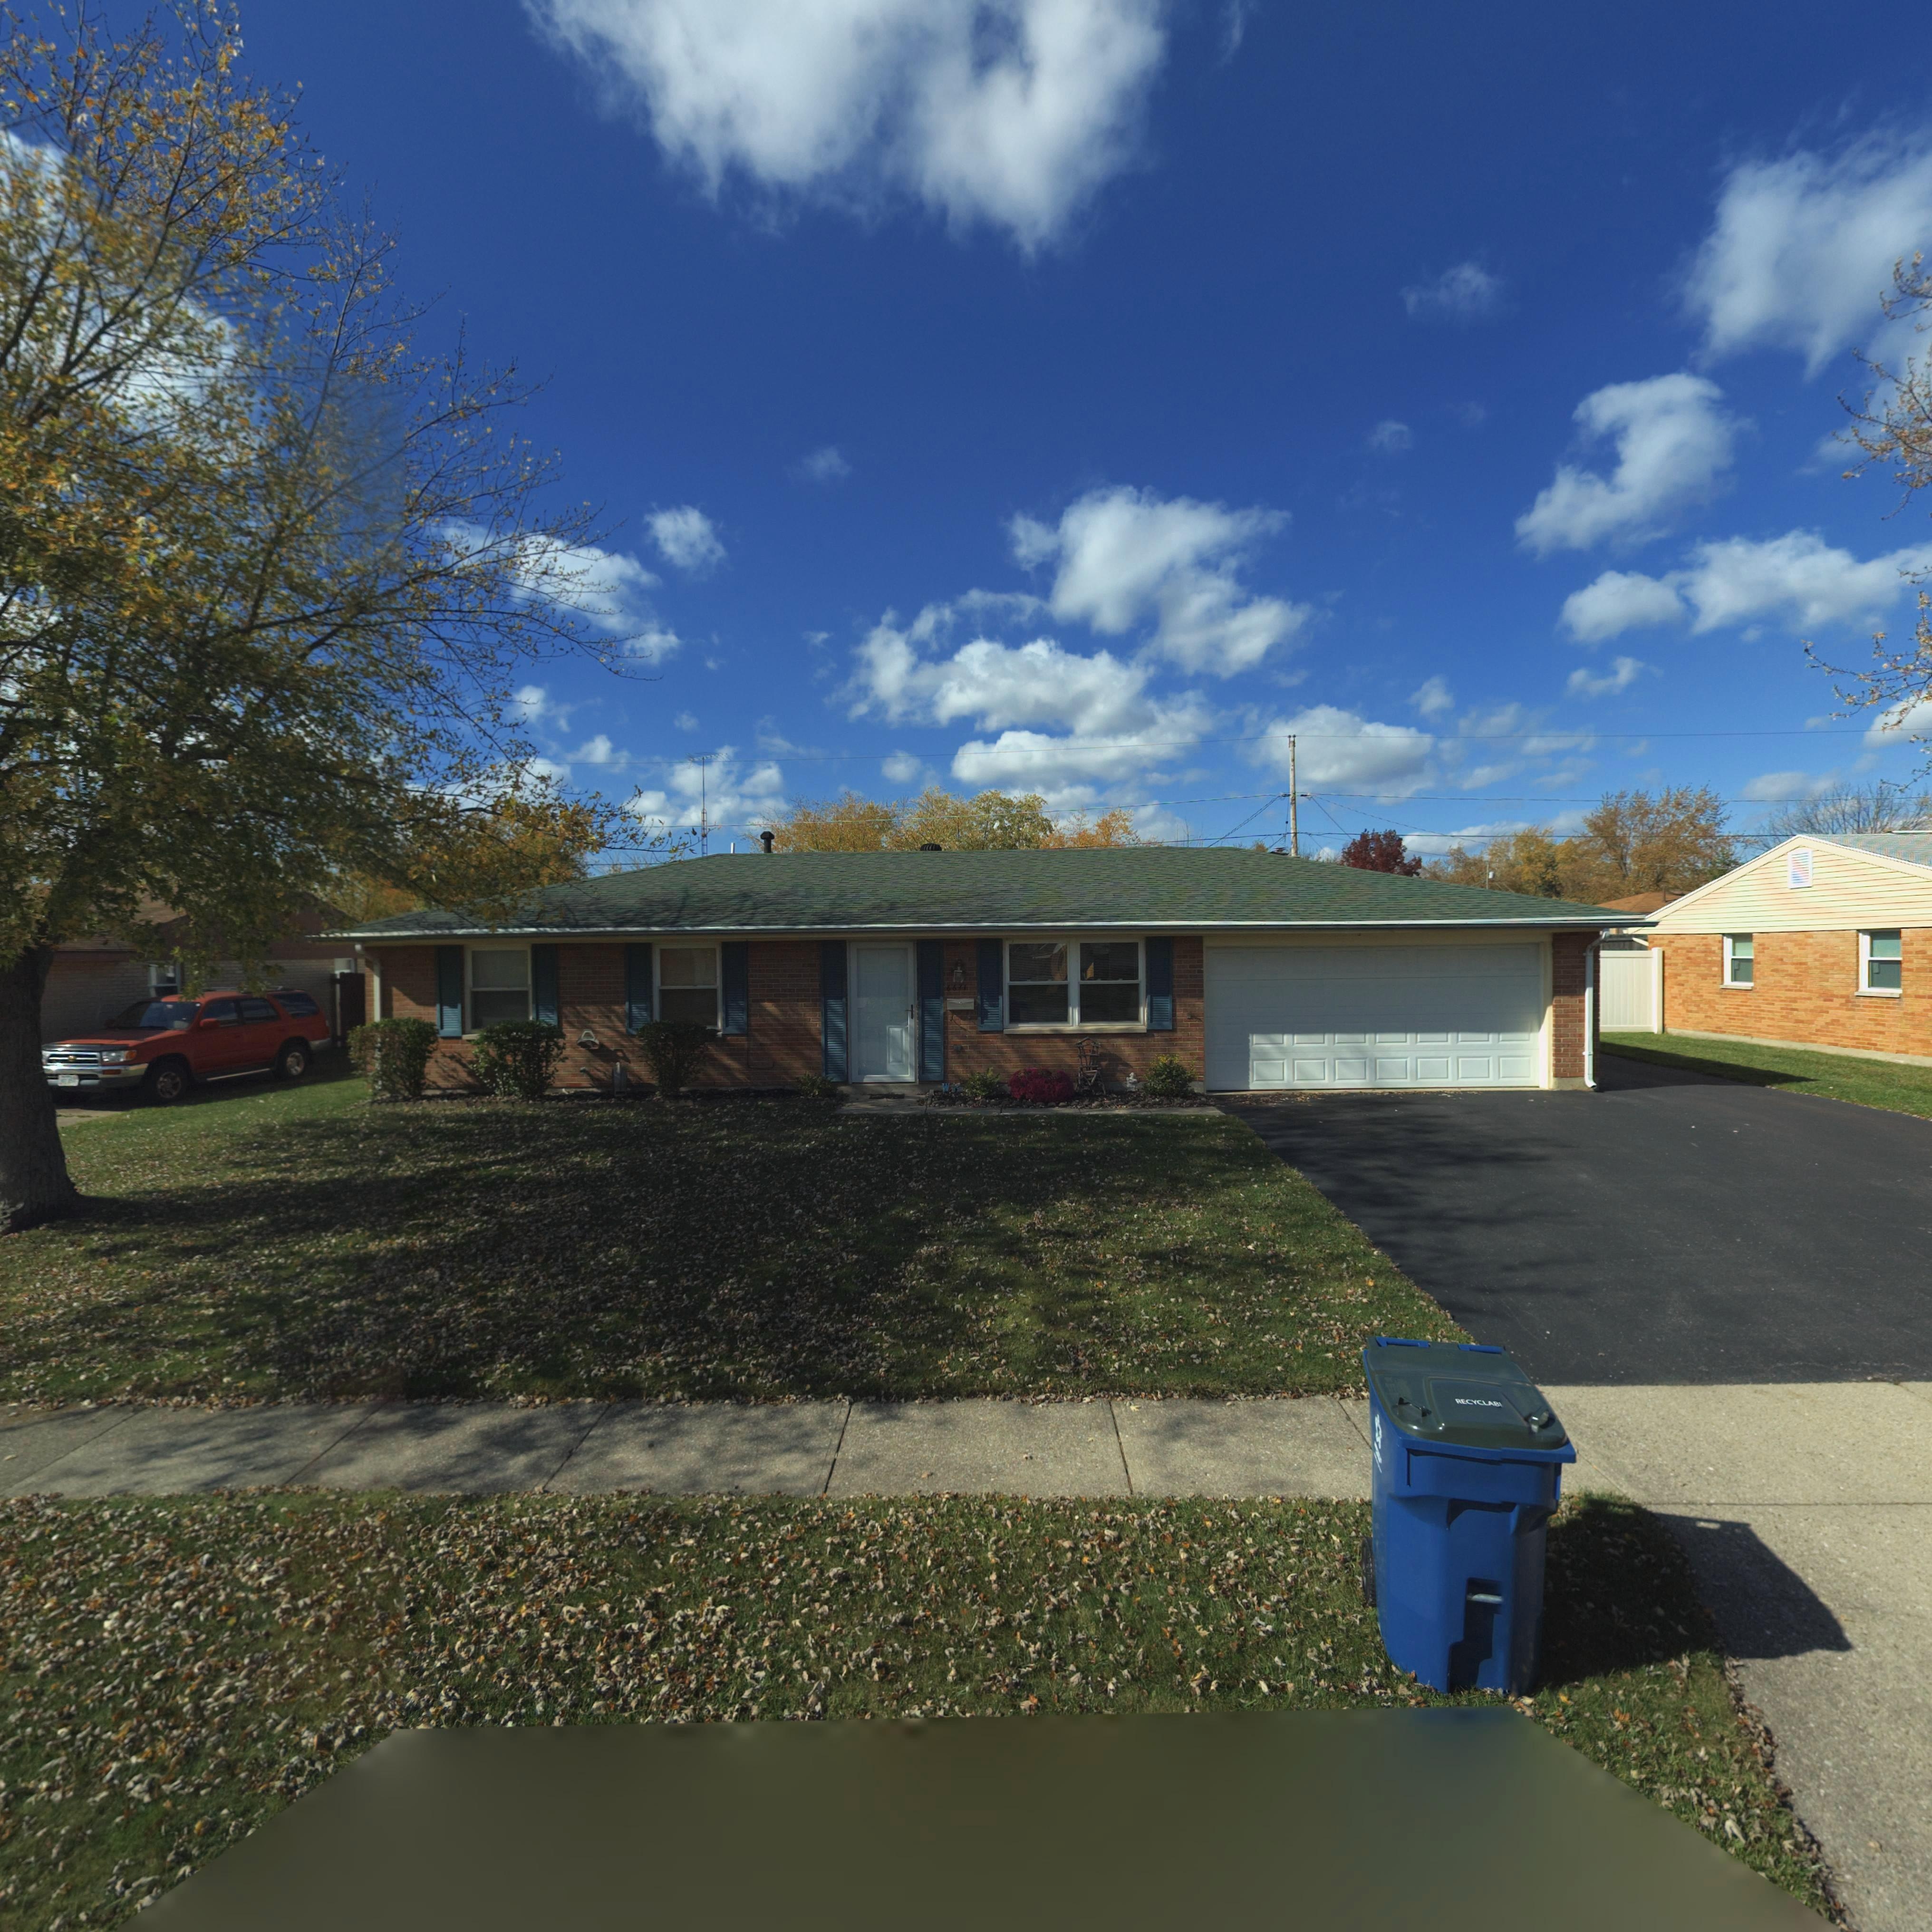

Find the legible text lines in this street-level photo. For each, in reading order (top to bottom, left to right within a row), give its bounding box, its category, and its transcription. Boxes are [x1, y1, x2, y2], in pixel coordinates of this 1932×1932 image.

[946, 983, 967, 991] StreetNumber: 6671